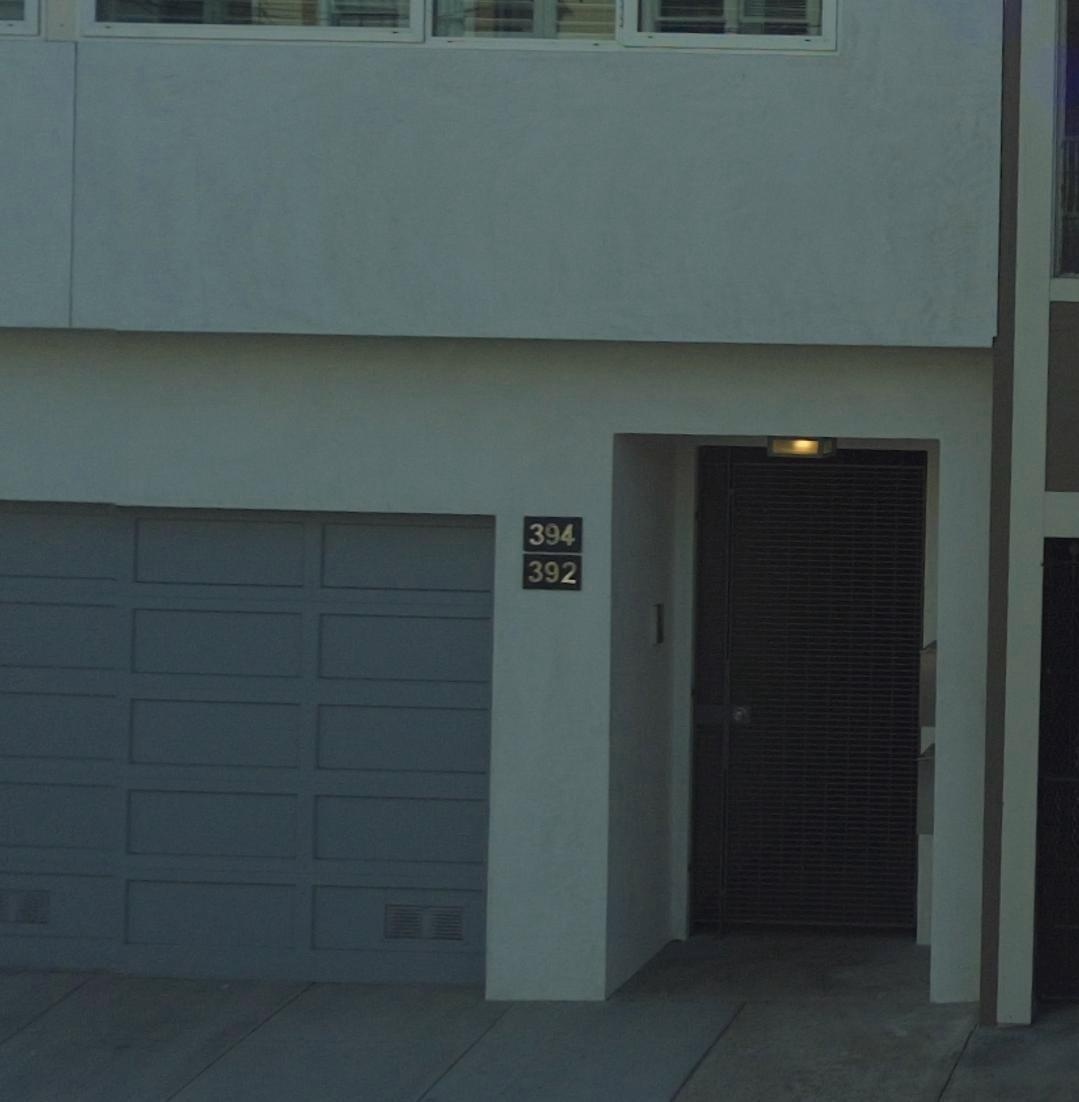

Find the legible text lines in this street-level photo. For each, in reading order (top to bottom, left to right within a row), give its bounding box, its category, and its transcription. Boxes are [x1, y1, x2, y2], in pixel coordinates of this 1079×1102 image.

[526, 522, 576, 548] StreetNumber: 394
[526, 558, 576, 585] StreetNumber: 392